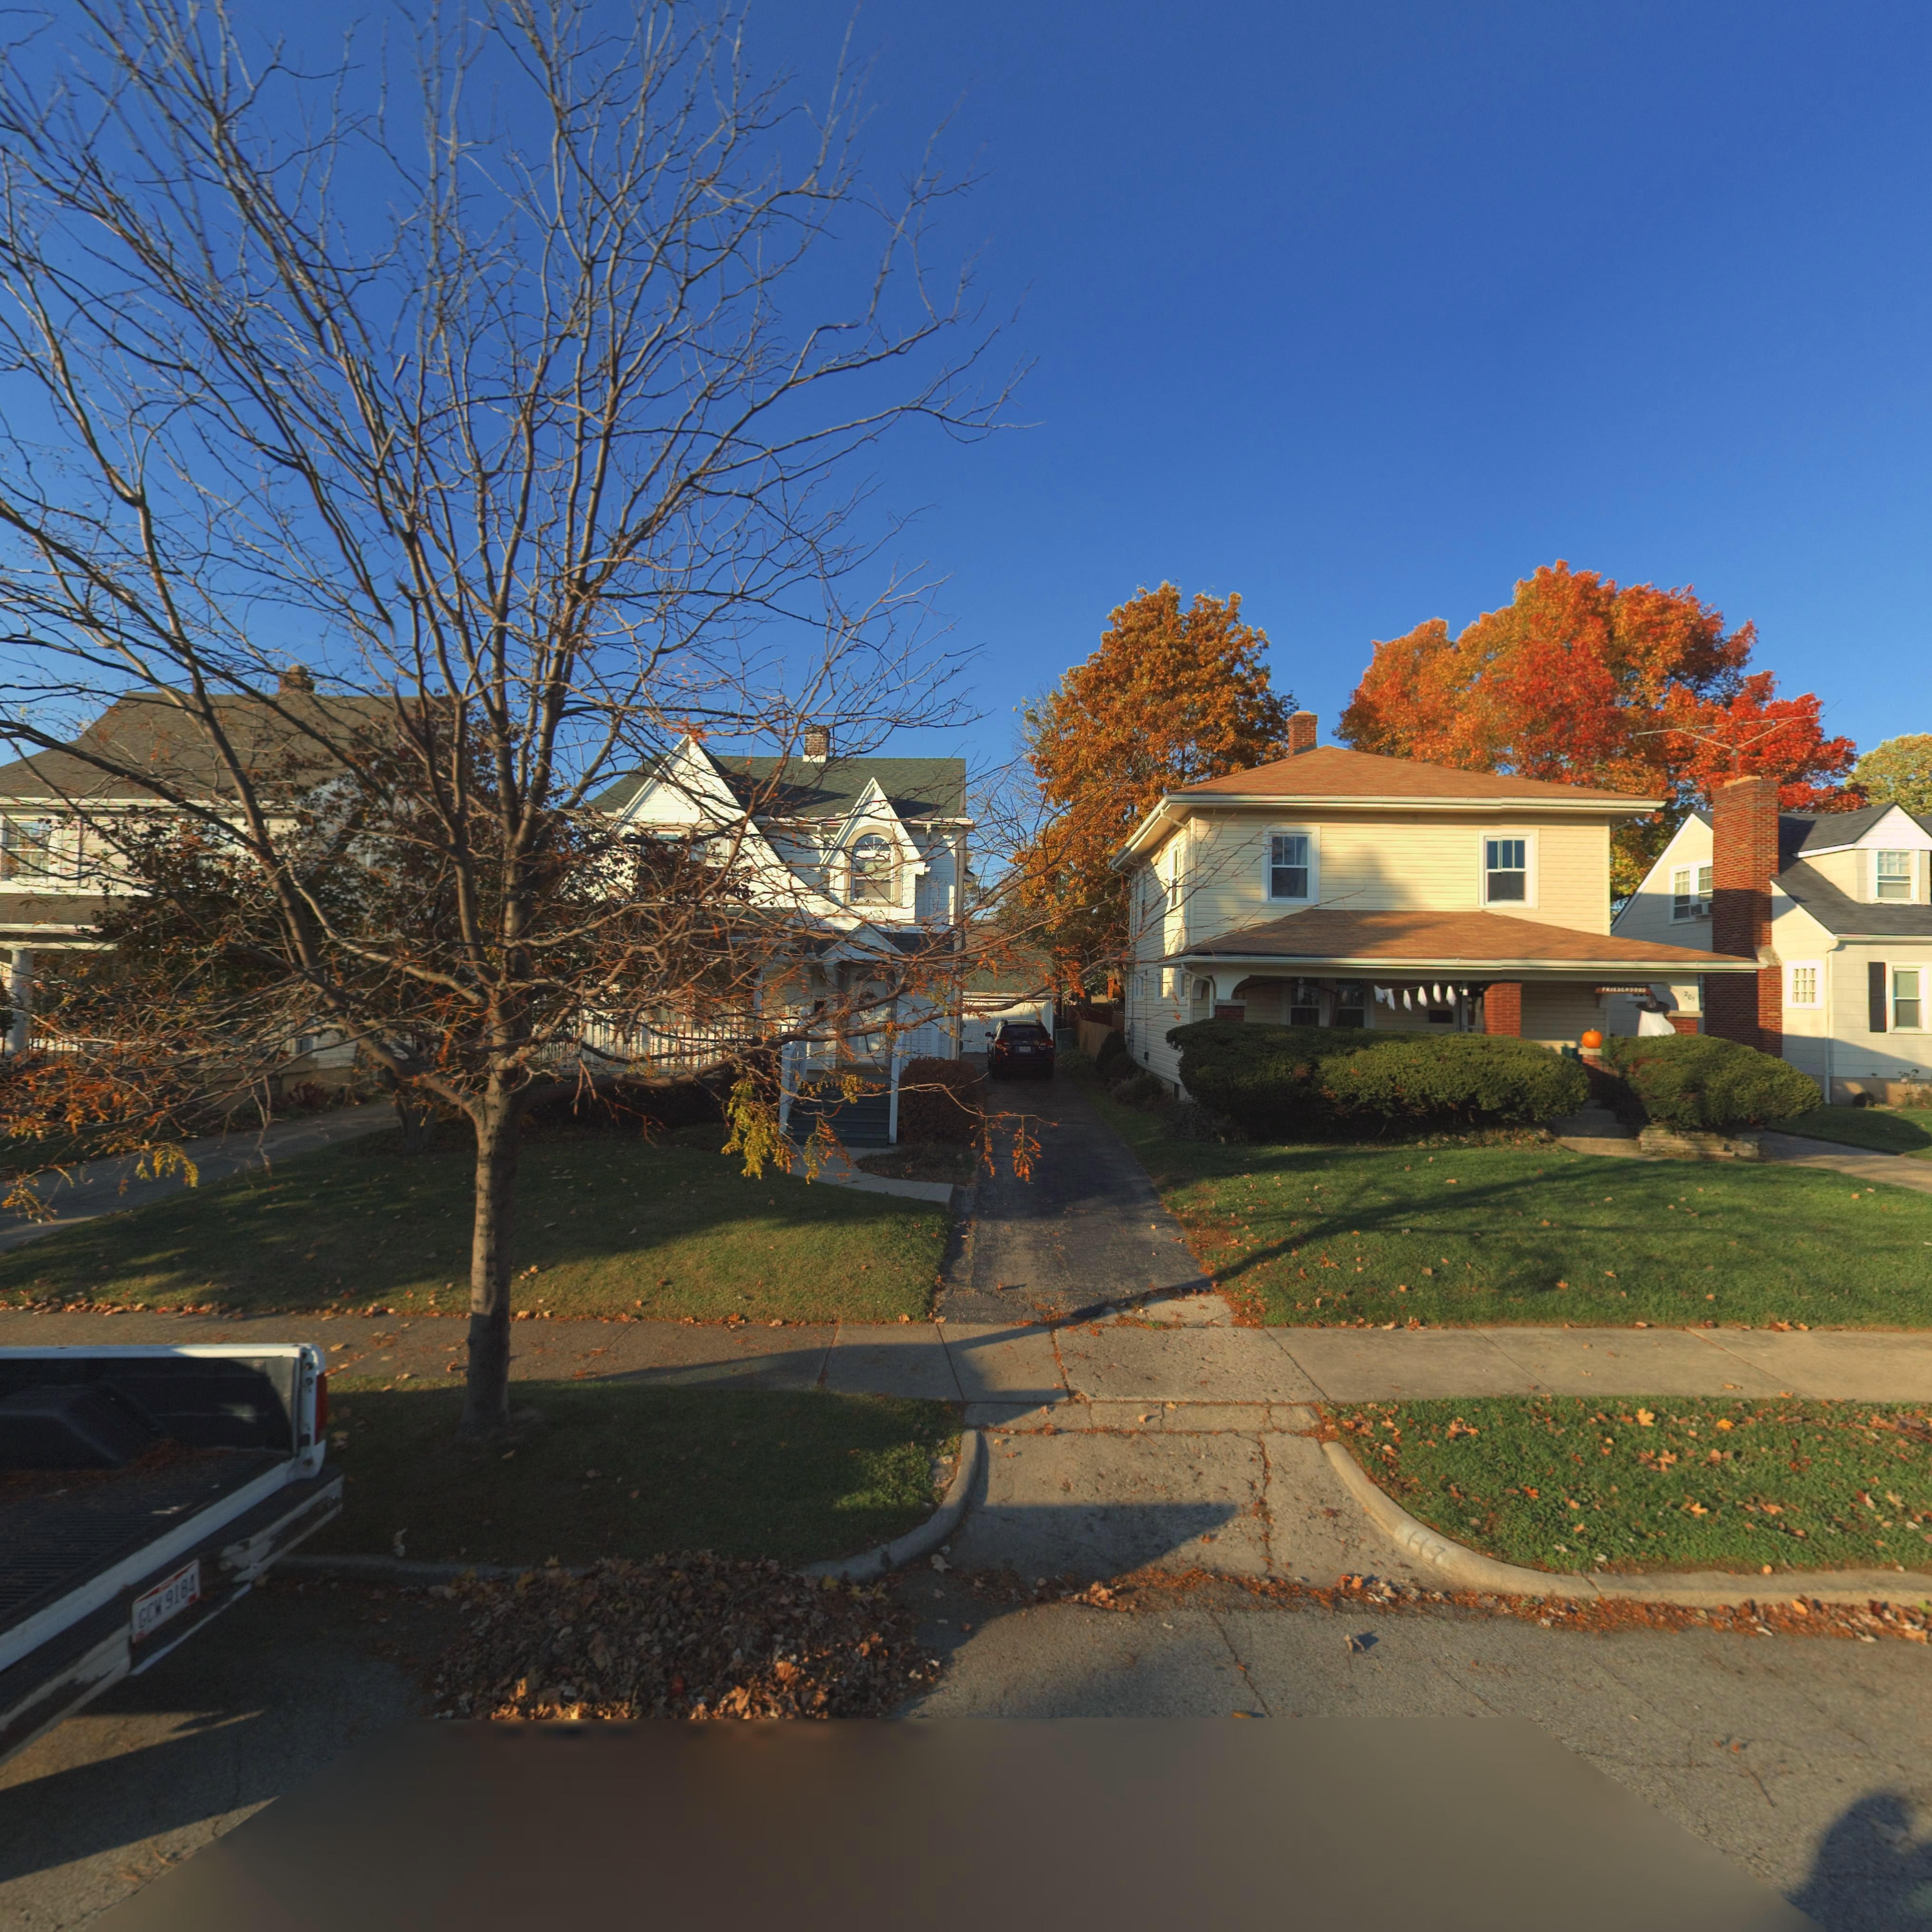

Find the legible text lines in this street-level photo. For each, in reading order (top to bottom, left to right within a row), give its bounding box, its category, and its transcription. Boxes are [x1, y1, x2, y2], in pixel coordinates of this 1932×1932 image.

[816, 992, 827, 998] StreetNumber: **7
[1683, 991, 1696, 1003] StreetNumber: 201